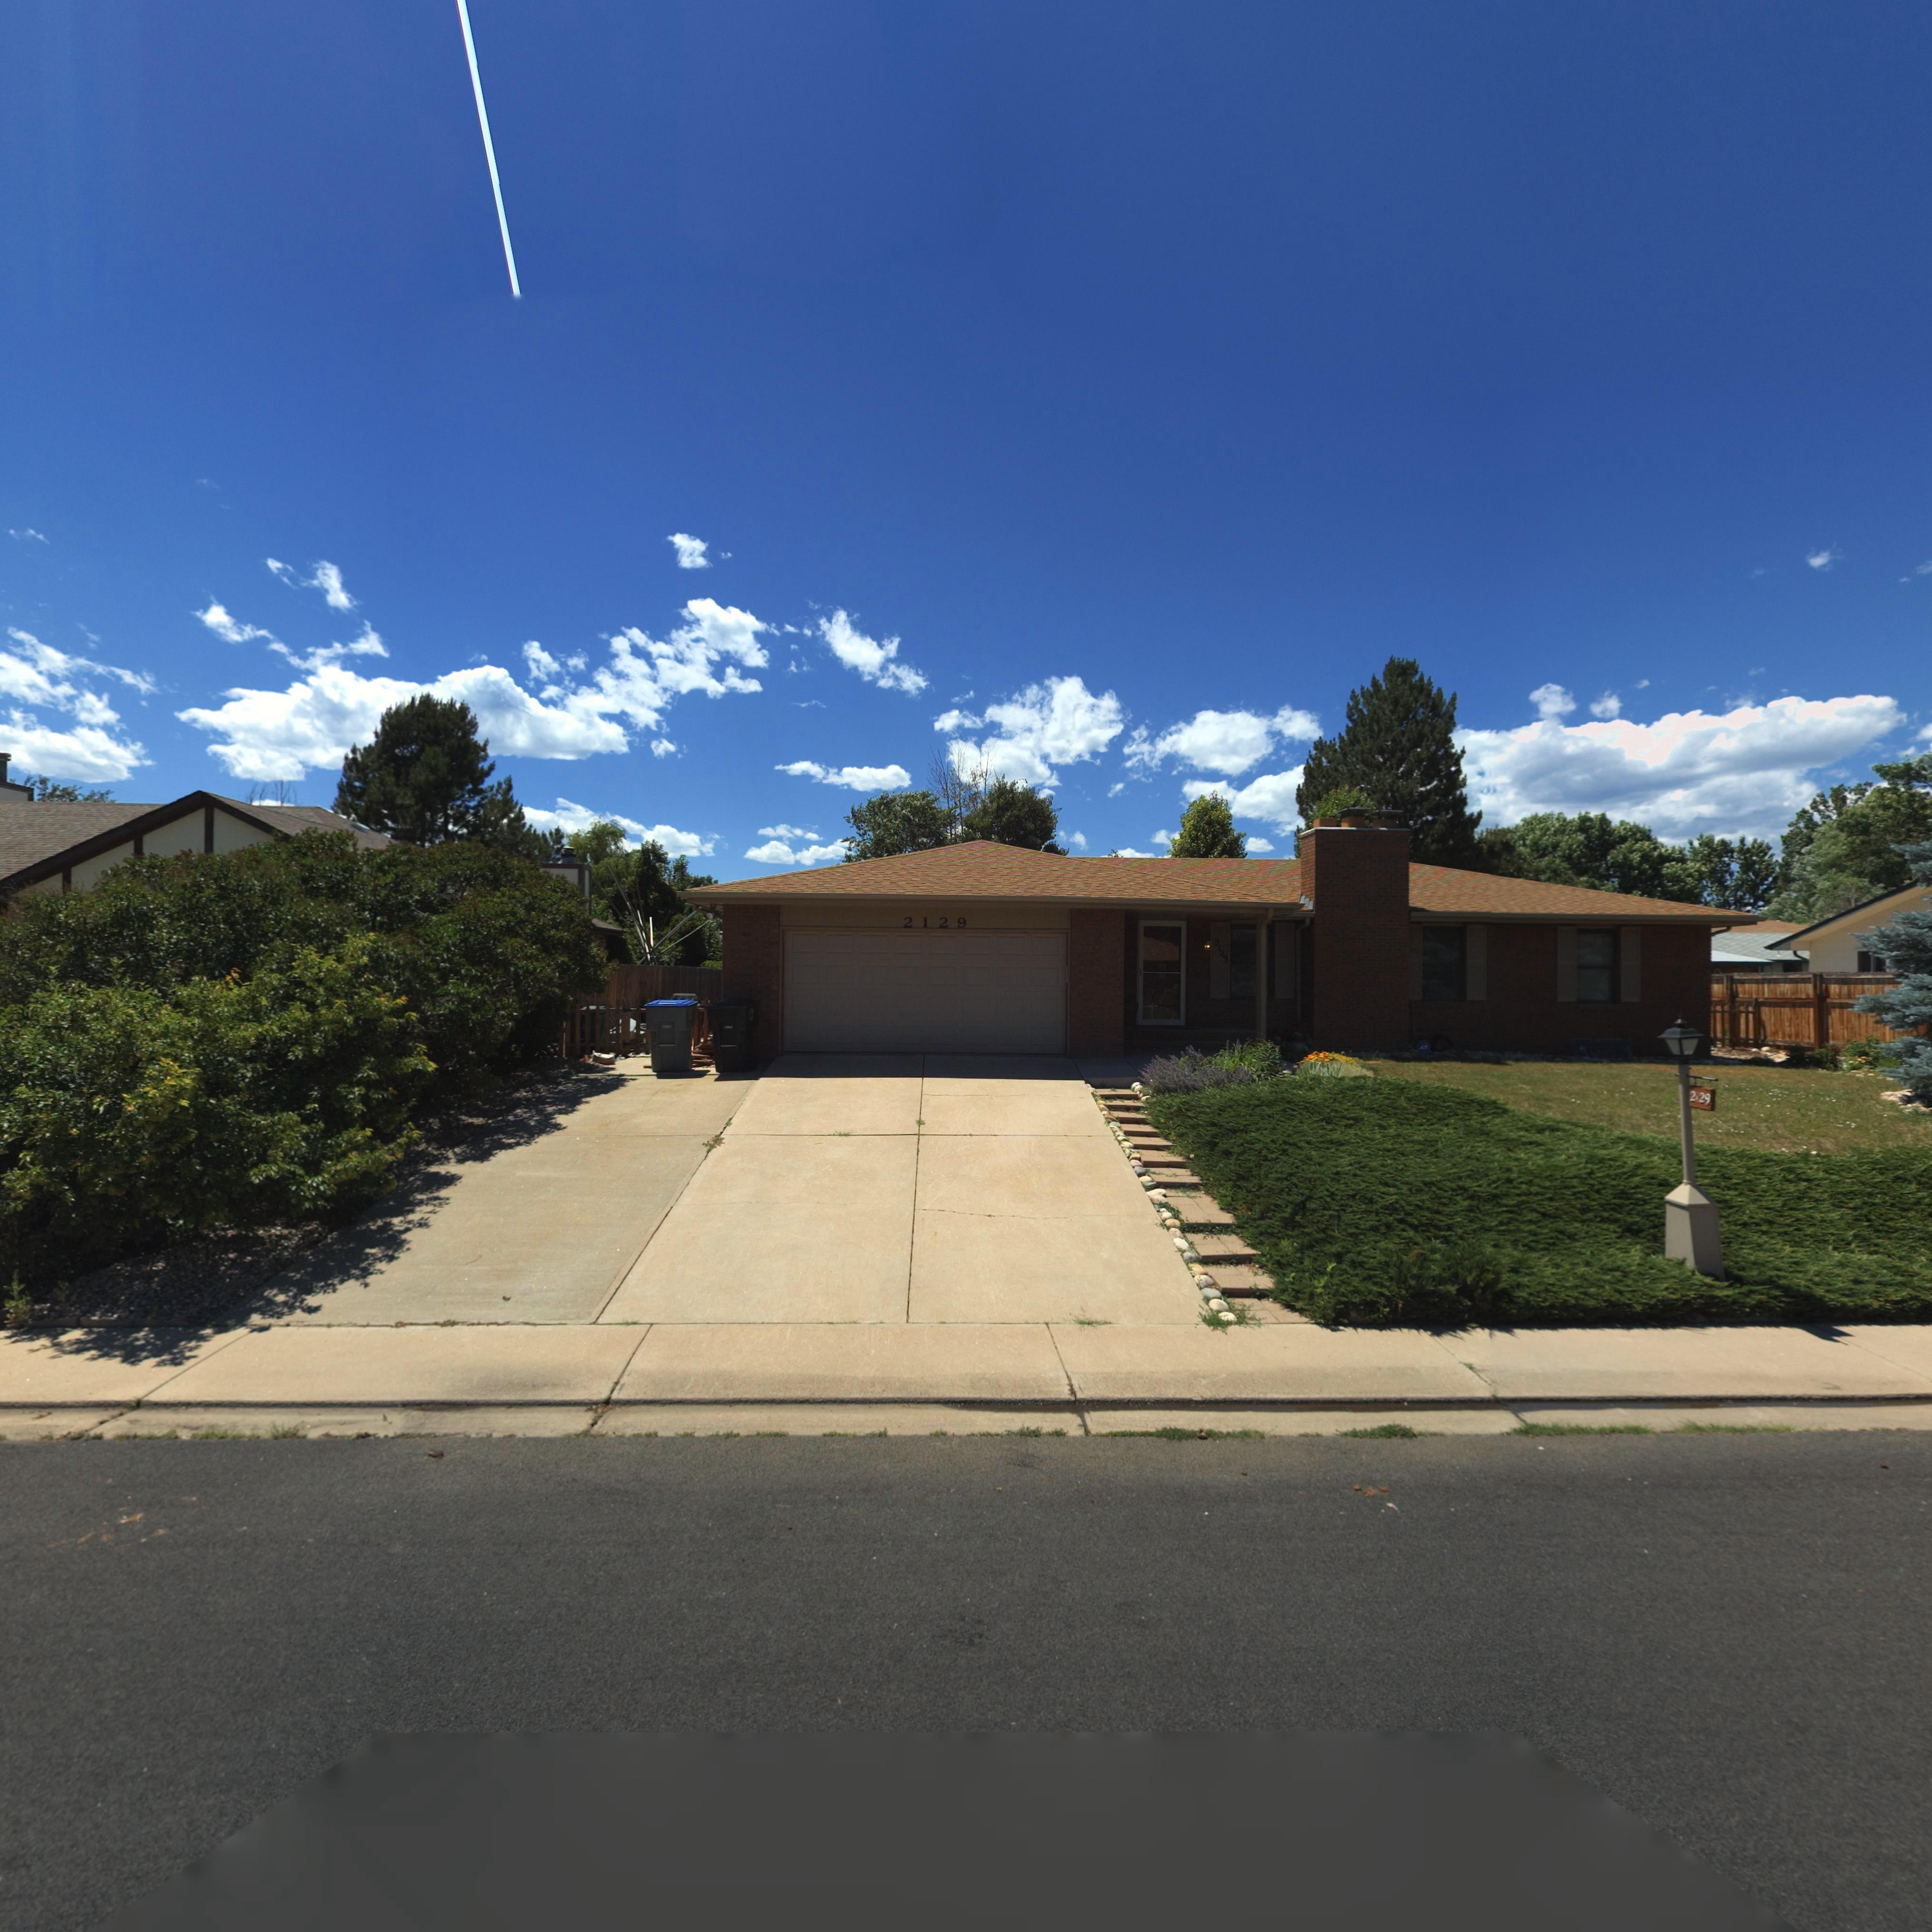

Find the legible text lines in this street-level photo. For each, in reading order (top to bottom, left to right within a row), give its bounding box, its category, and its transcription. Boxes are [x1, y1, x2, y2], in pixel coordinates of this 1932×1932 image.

[902, 916, 966, 929] StreetNumber: 2129
[1213, 938, 1228, 962] StreetNumber: 2129
[1688, 1090, 1711, 1106] StreetNumber: 2*29